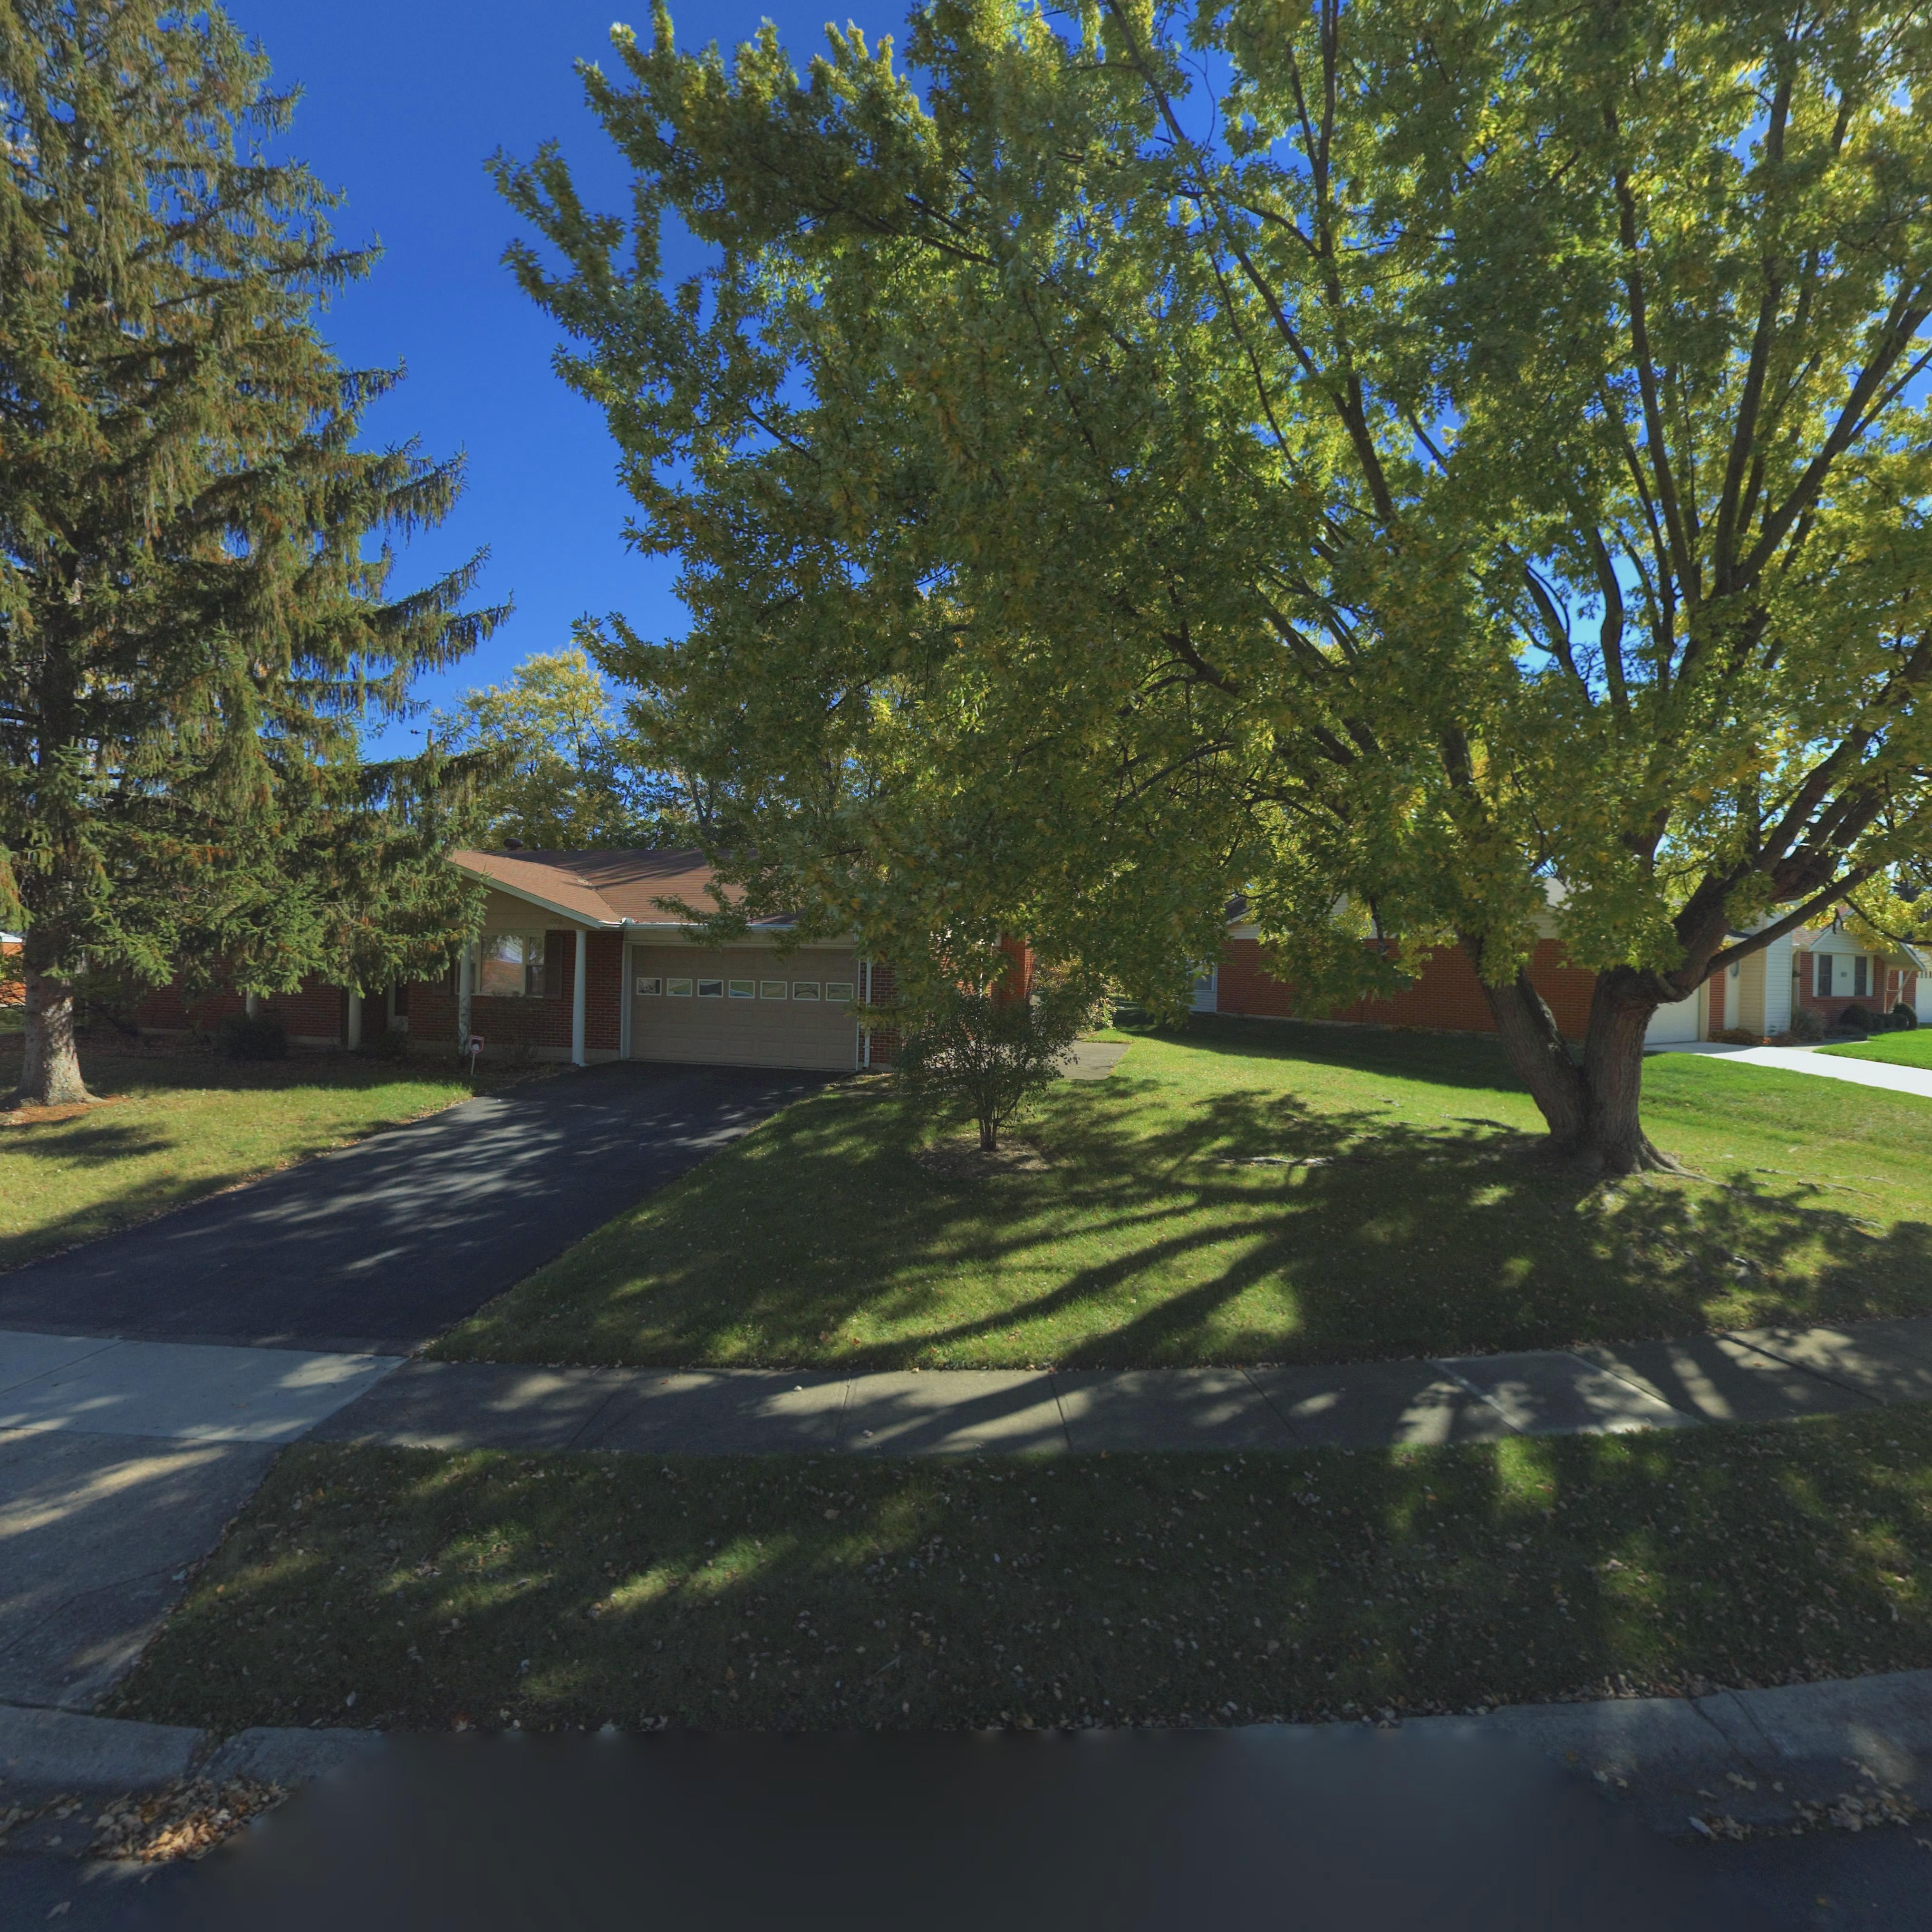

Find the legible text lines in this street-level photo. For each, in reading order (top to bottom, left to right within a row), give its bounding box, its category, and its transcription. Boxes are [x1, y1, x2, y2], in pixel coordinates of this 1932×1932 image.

[548, 918, 563, 925] StreetNumber: 1006